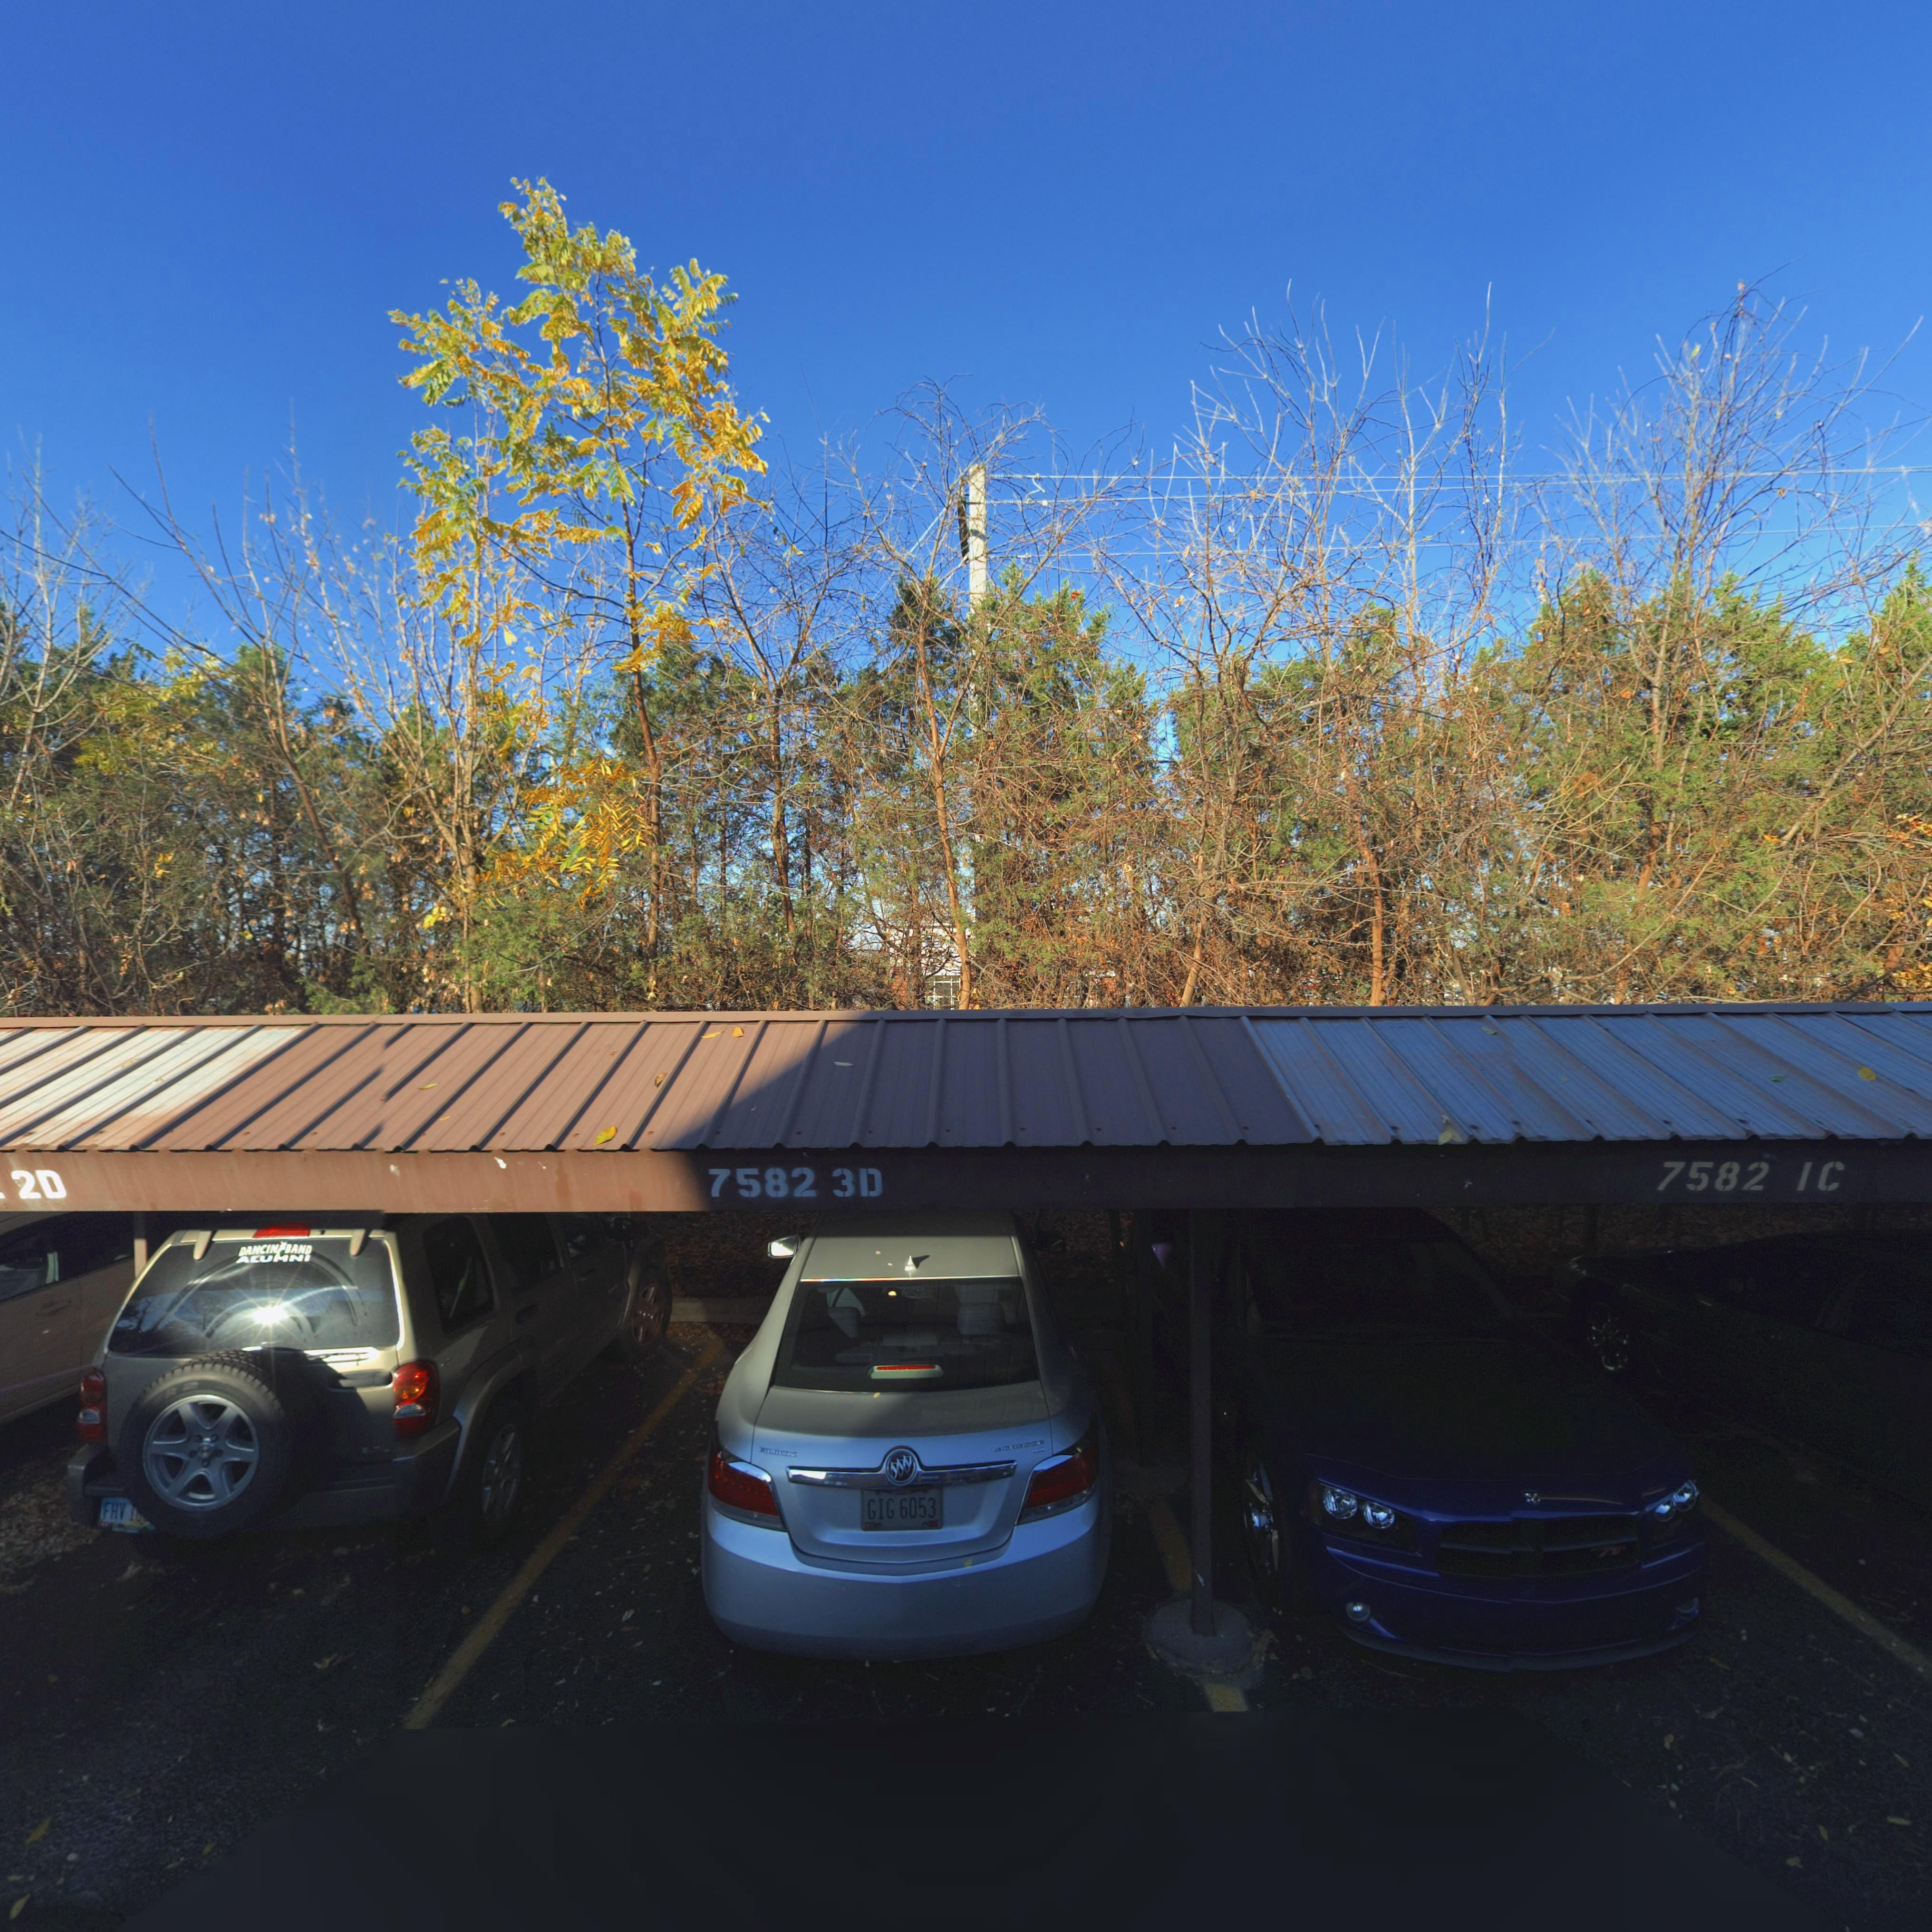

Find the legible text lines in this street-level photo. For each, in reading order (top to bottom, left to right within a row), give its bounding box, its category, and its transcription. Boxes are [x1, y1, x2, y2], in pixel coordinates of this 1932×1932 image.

[707, 1167, 818, 1198] StreetNumber: 7582
[1655, 1160, 1771, 1192] StreetNumber: 7582